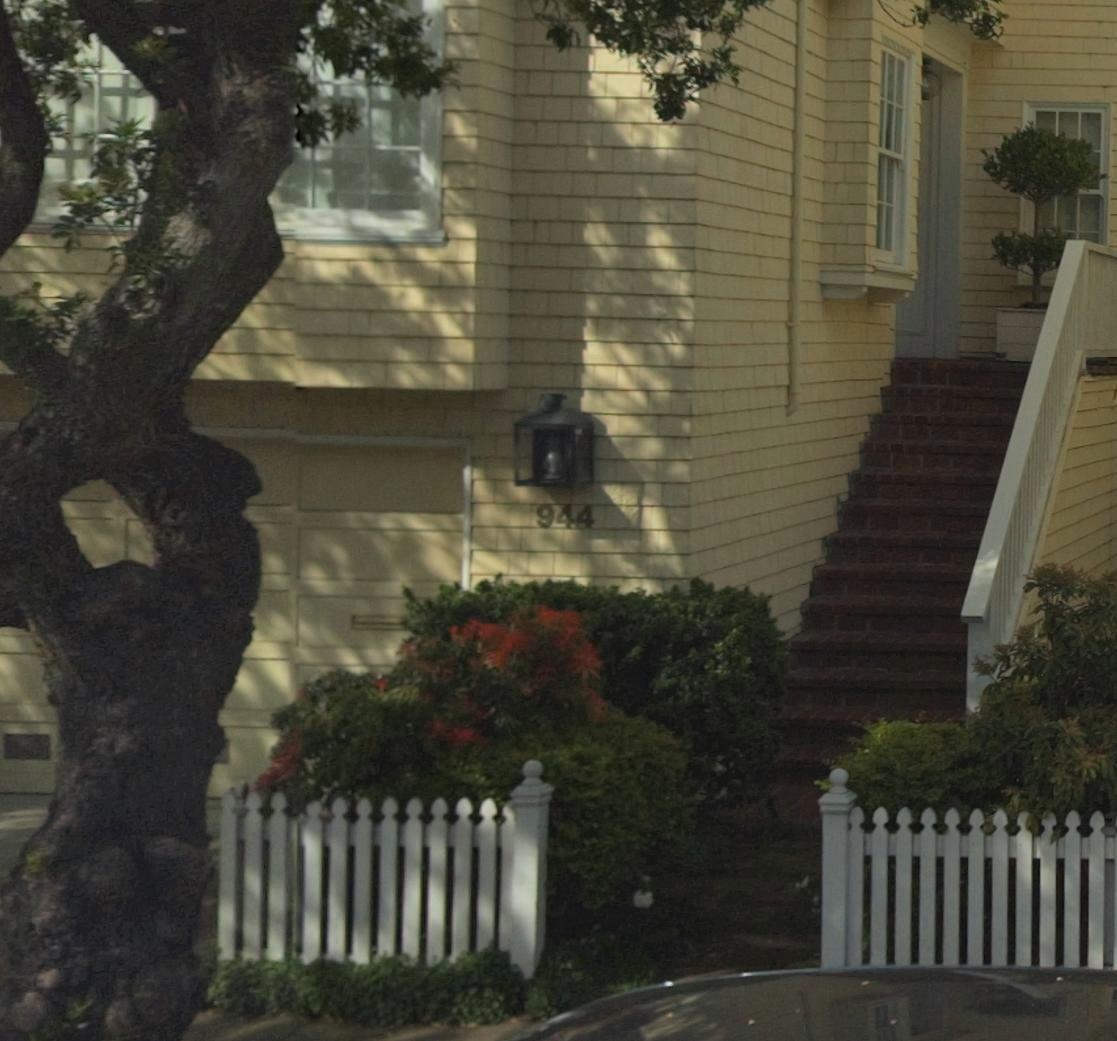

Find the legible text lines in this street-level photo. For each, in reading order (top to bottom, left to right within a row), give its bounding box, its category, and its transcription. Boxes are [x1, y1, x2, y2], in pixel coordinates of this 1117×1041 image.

[535, 503, 598, 531] StreetNumber: 944